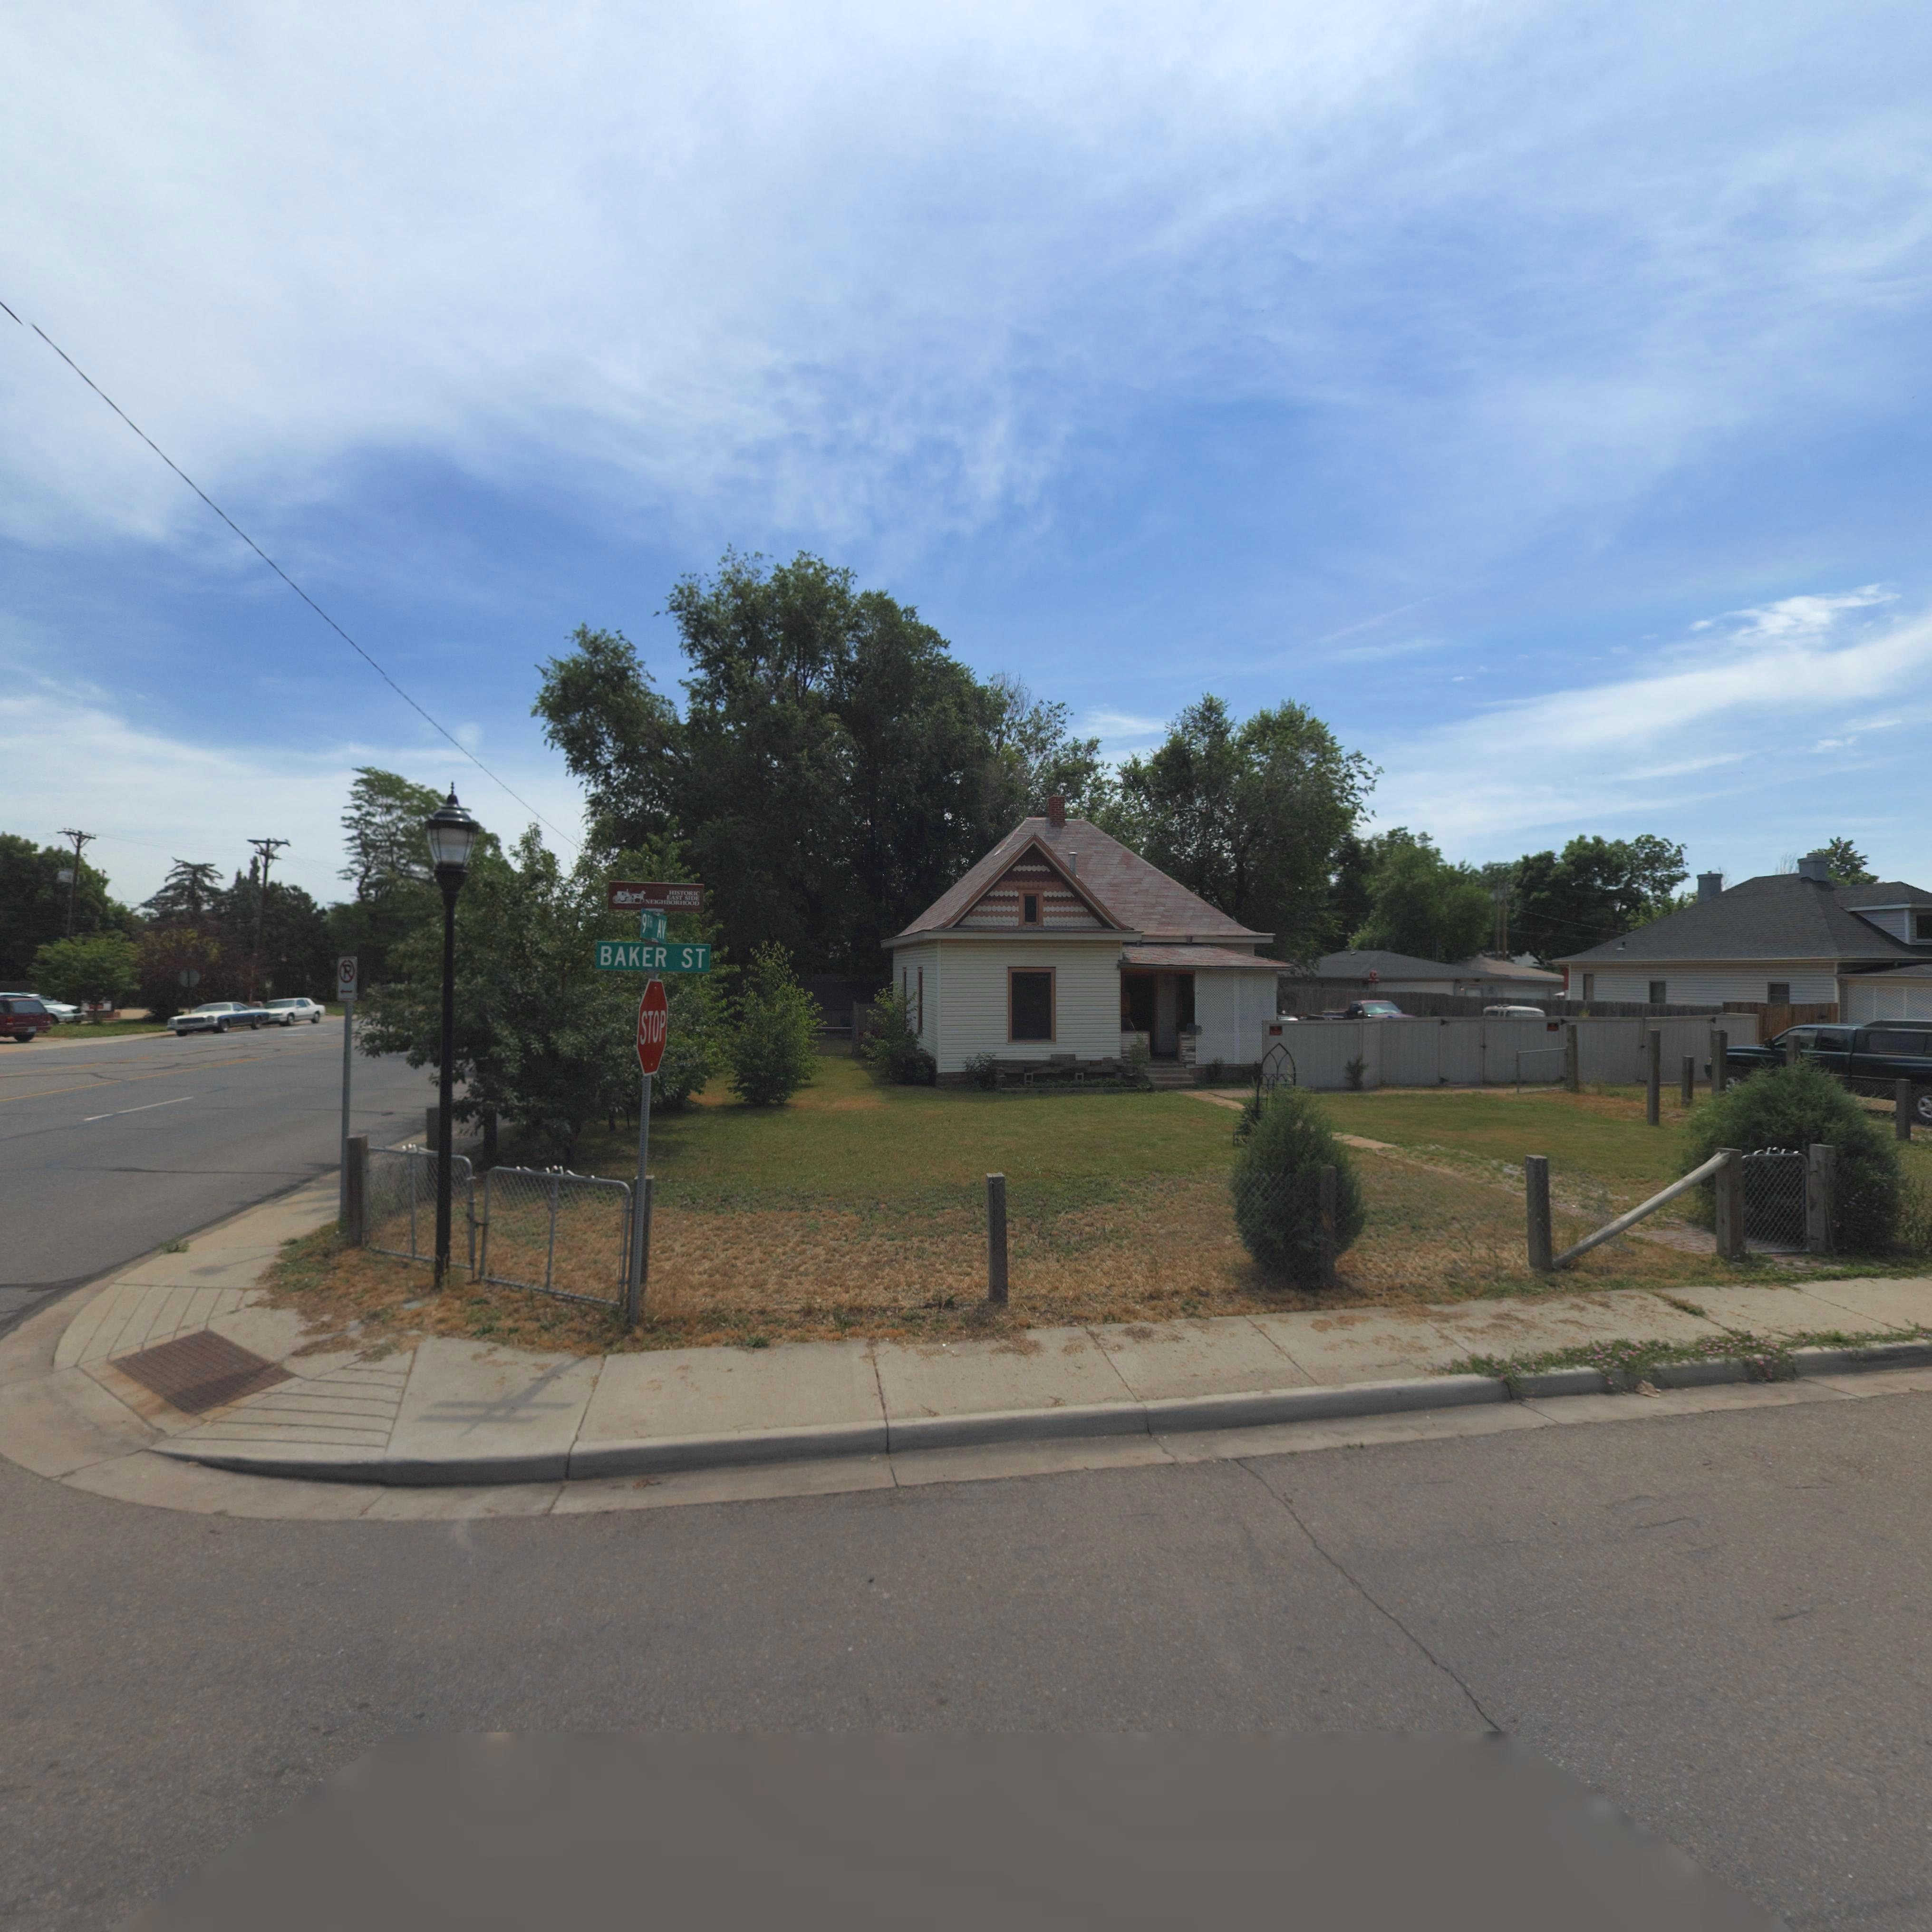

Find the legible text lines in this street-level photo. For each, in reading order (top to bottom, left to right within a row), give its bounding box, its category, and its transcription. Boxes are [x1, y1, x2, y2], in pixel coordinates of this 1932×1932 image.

[641, 913, 667, 940] None: 9TH AV 
[599, 945, 706, 969] StreetName: BAKER ST